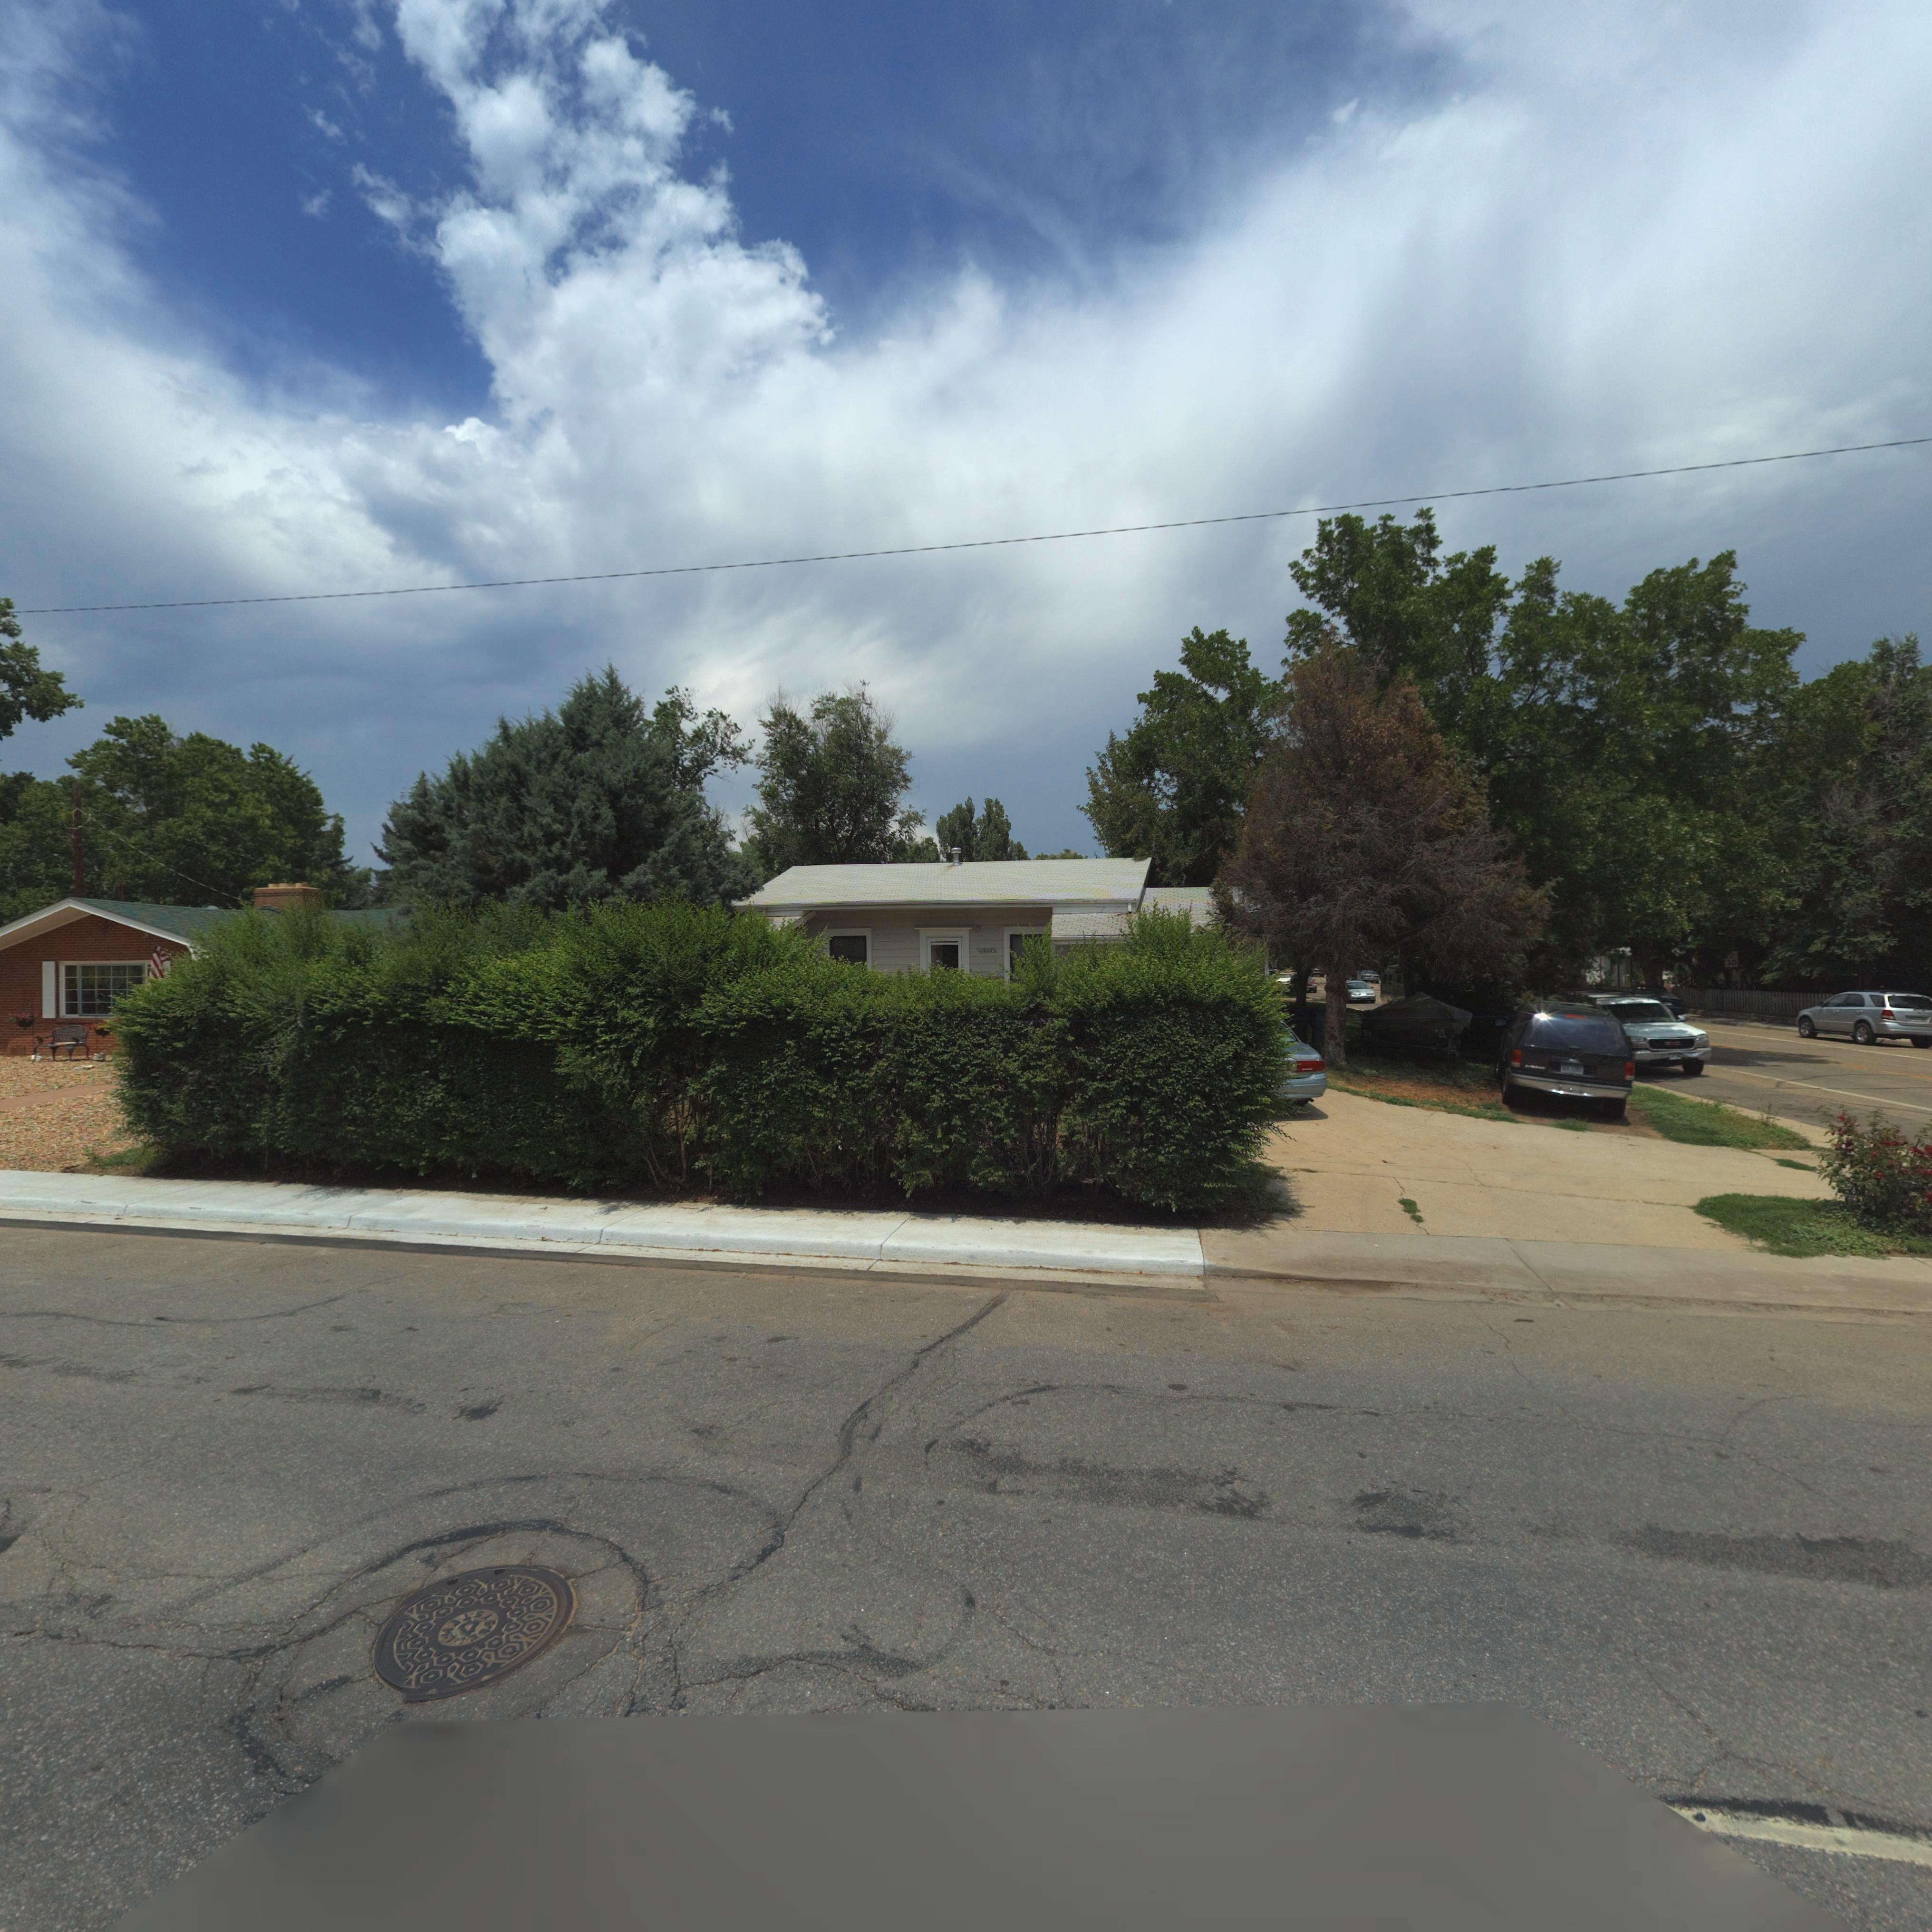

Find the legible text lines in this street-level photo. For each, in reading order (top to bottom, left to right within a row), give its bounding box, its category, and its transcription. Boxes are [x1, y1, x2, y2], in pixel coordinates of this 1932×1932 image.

[980, 947, 992, 952] StreetNumber: 1202